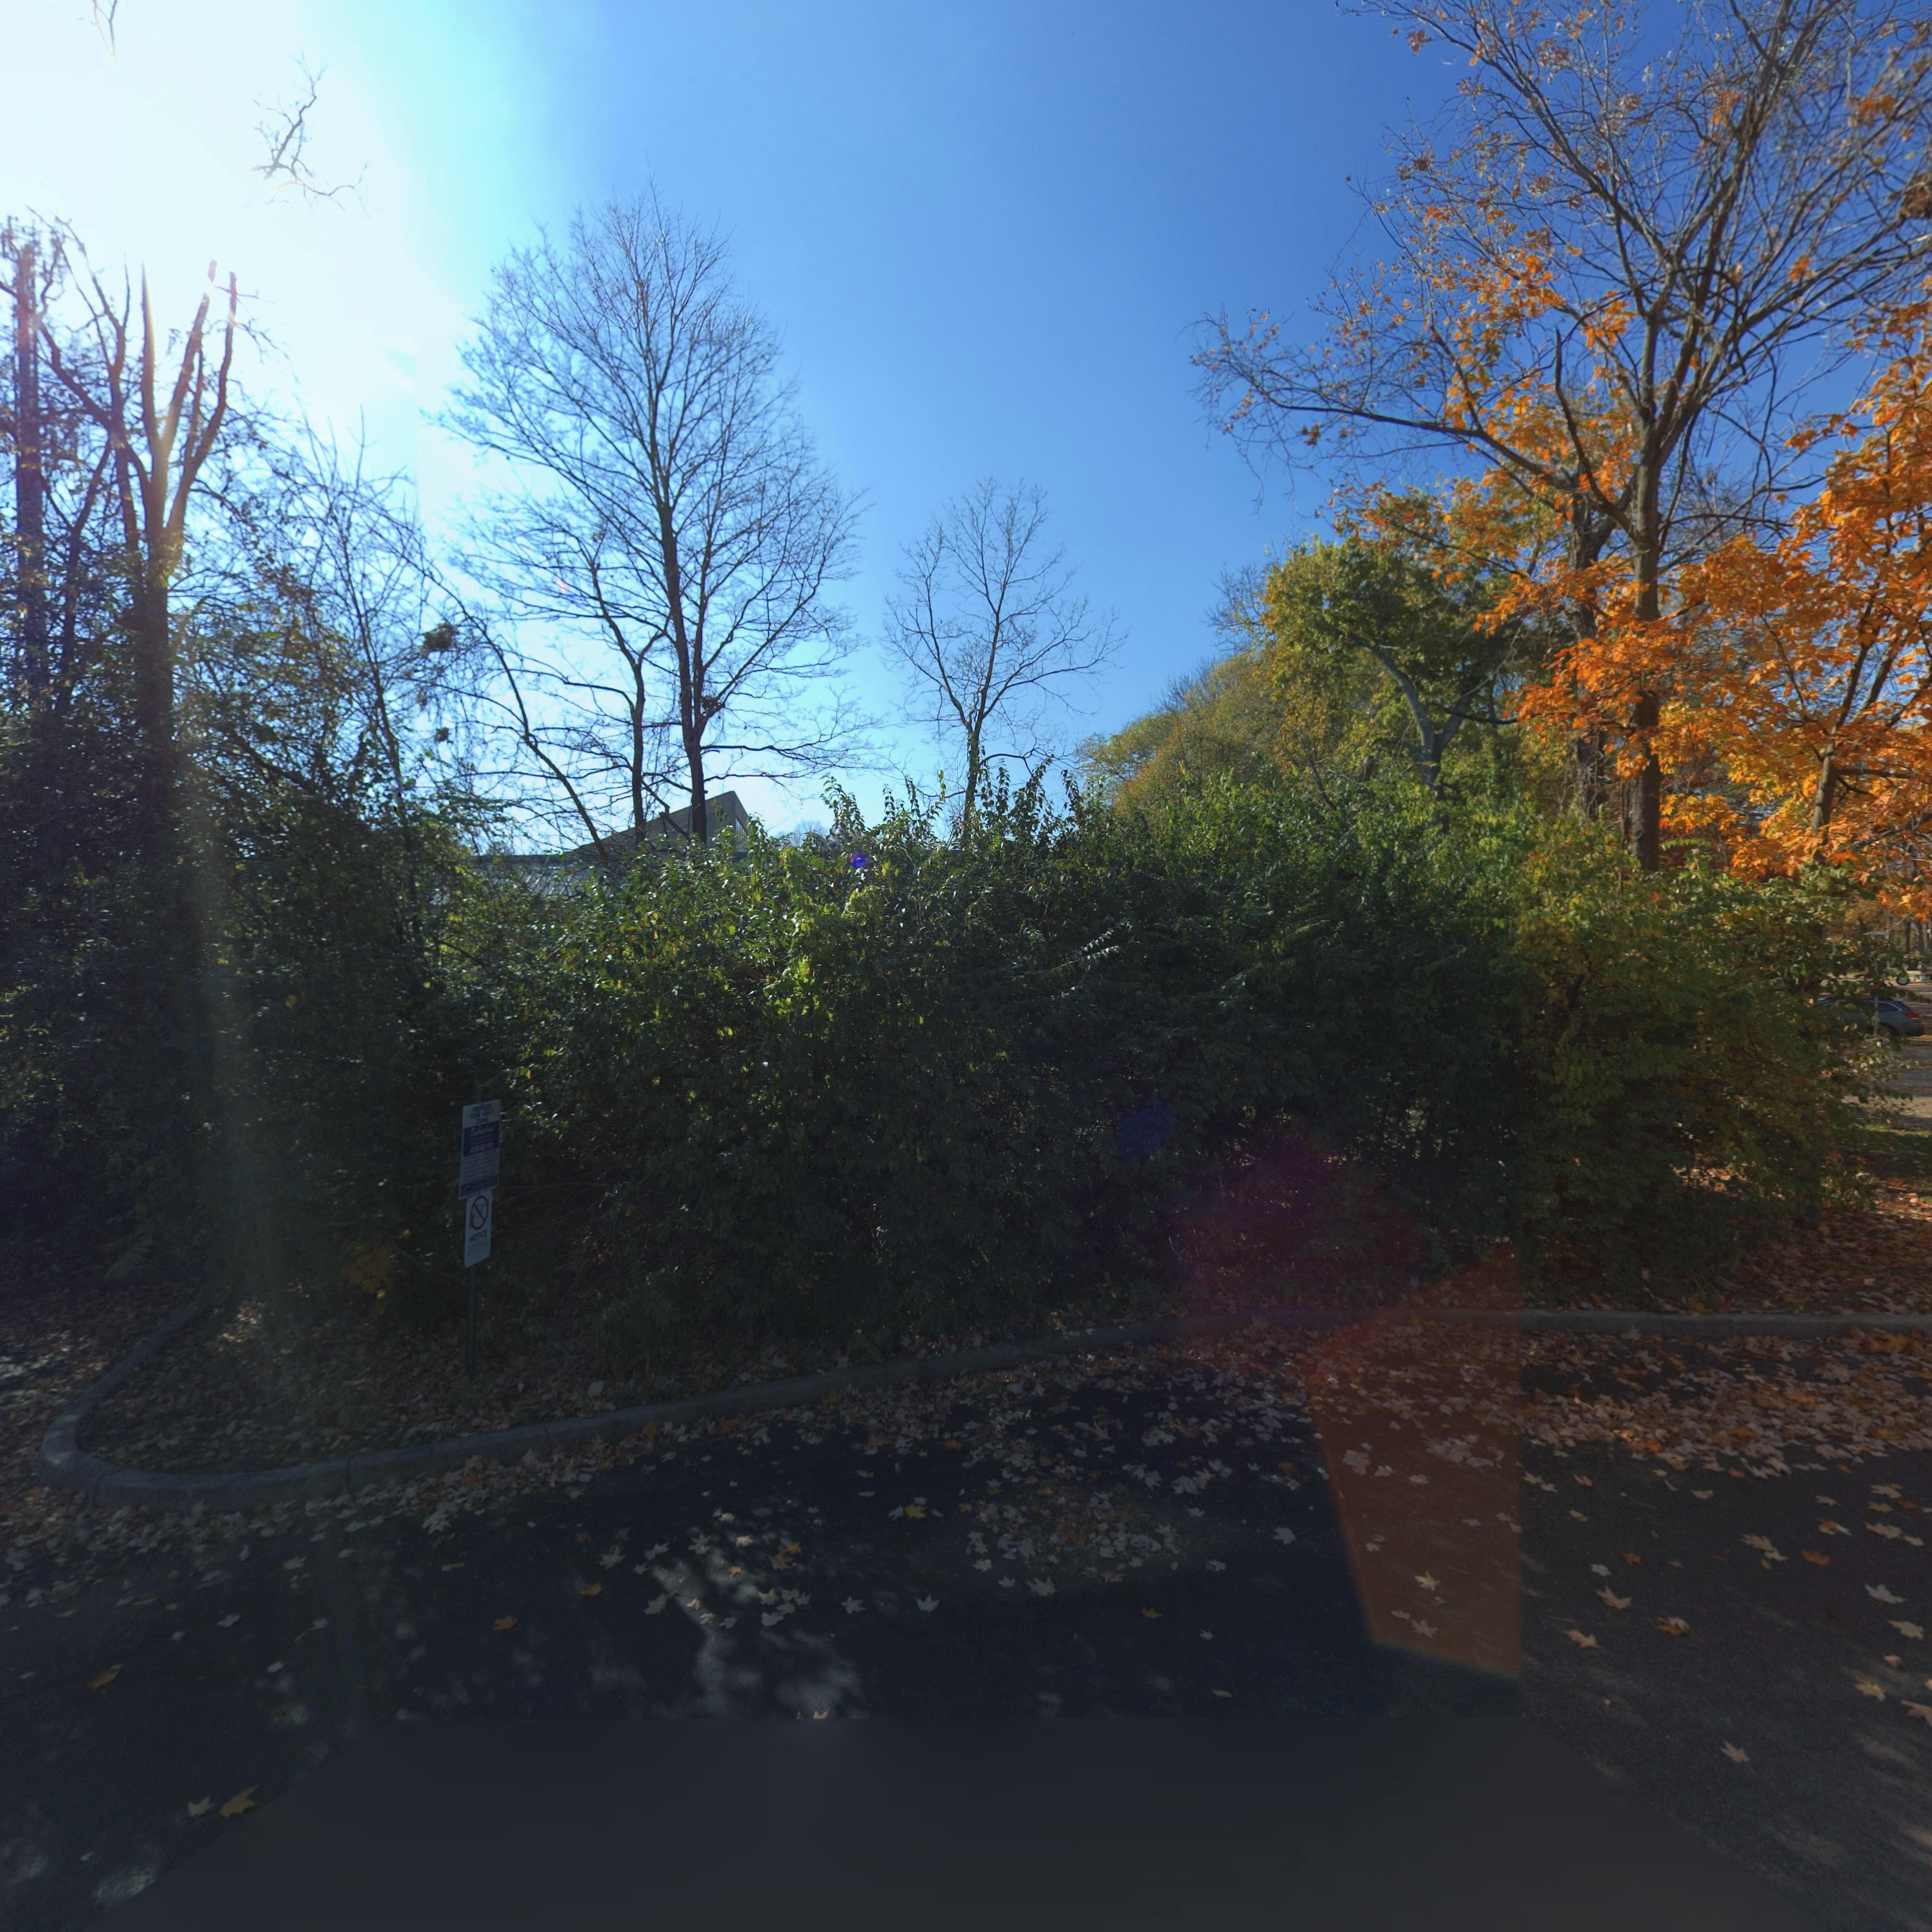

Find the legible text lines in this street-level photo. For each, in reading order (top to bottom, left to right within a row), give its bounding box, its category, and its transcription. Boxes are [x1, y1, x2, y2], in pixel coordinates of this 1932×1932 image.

[472, 1103, 493, 1113] None: PRIVATE
[469, 1109, 495, 1120] None: TOW AWAY
[475, 1116, 489, 1125] None: ZONE
[469, 1228, 487, 1243] None: NOTICE